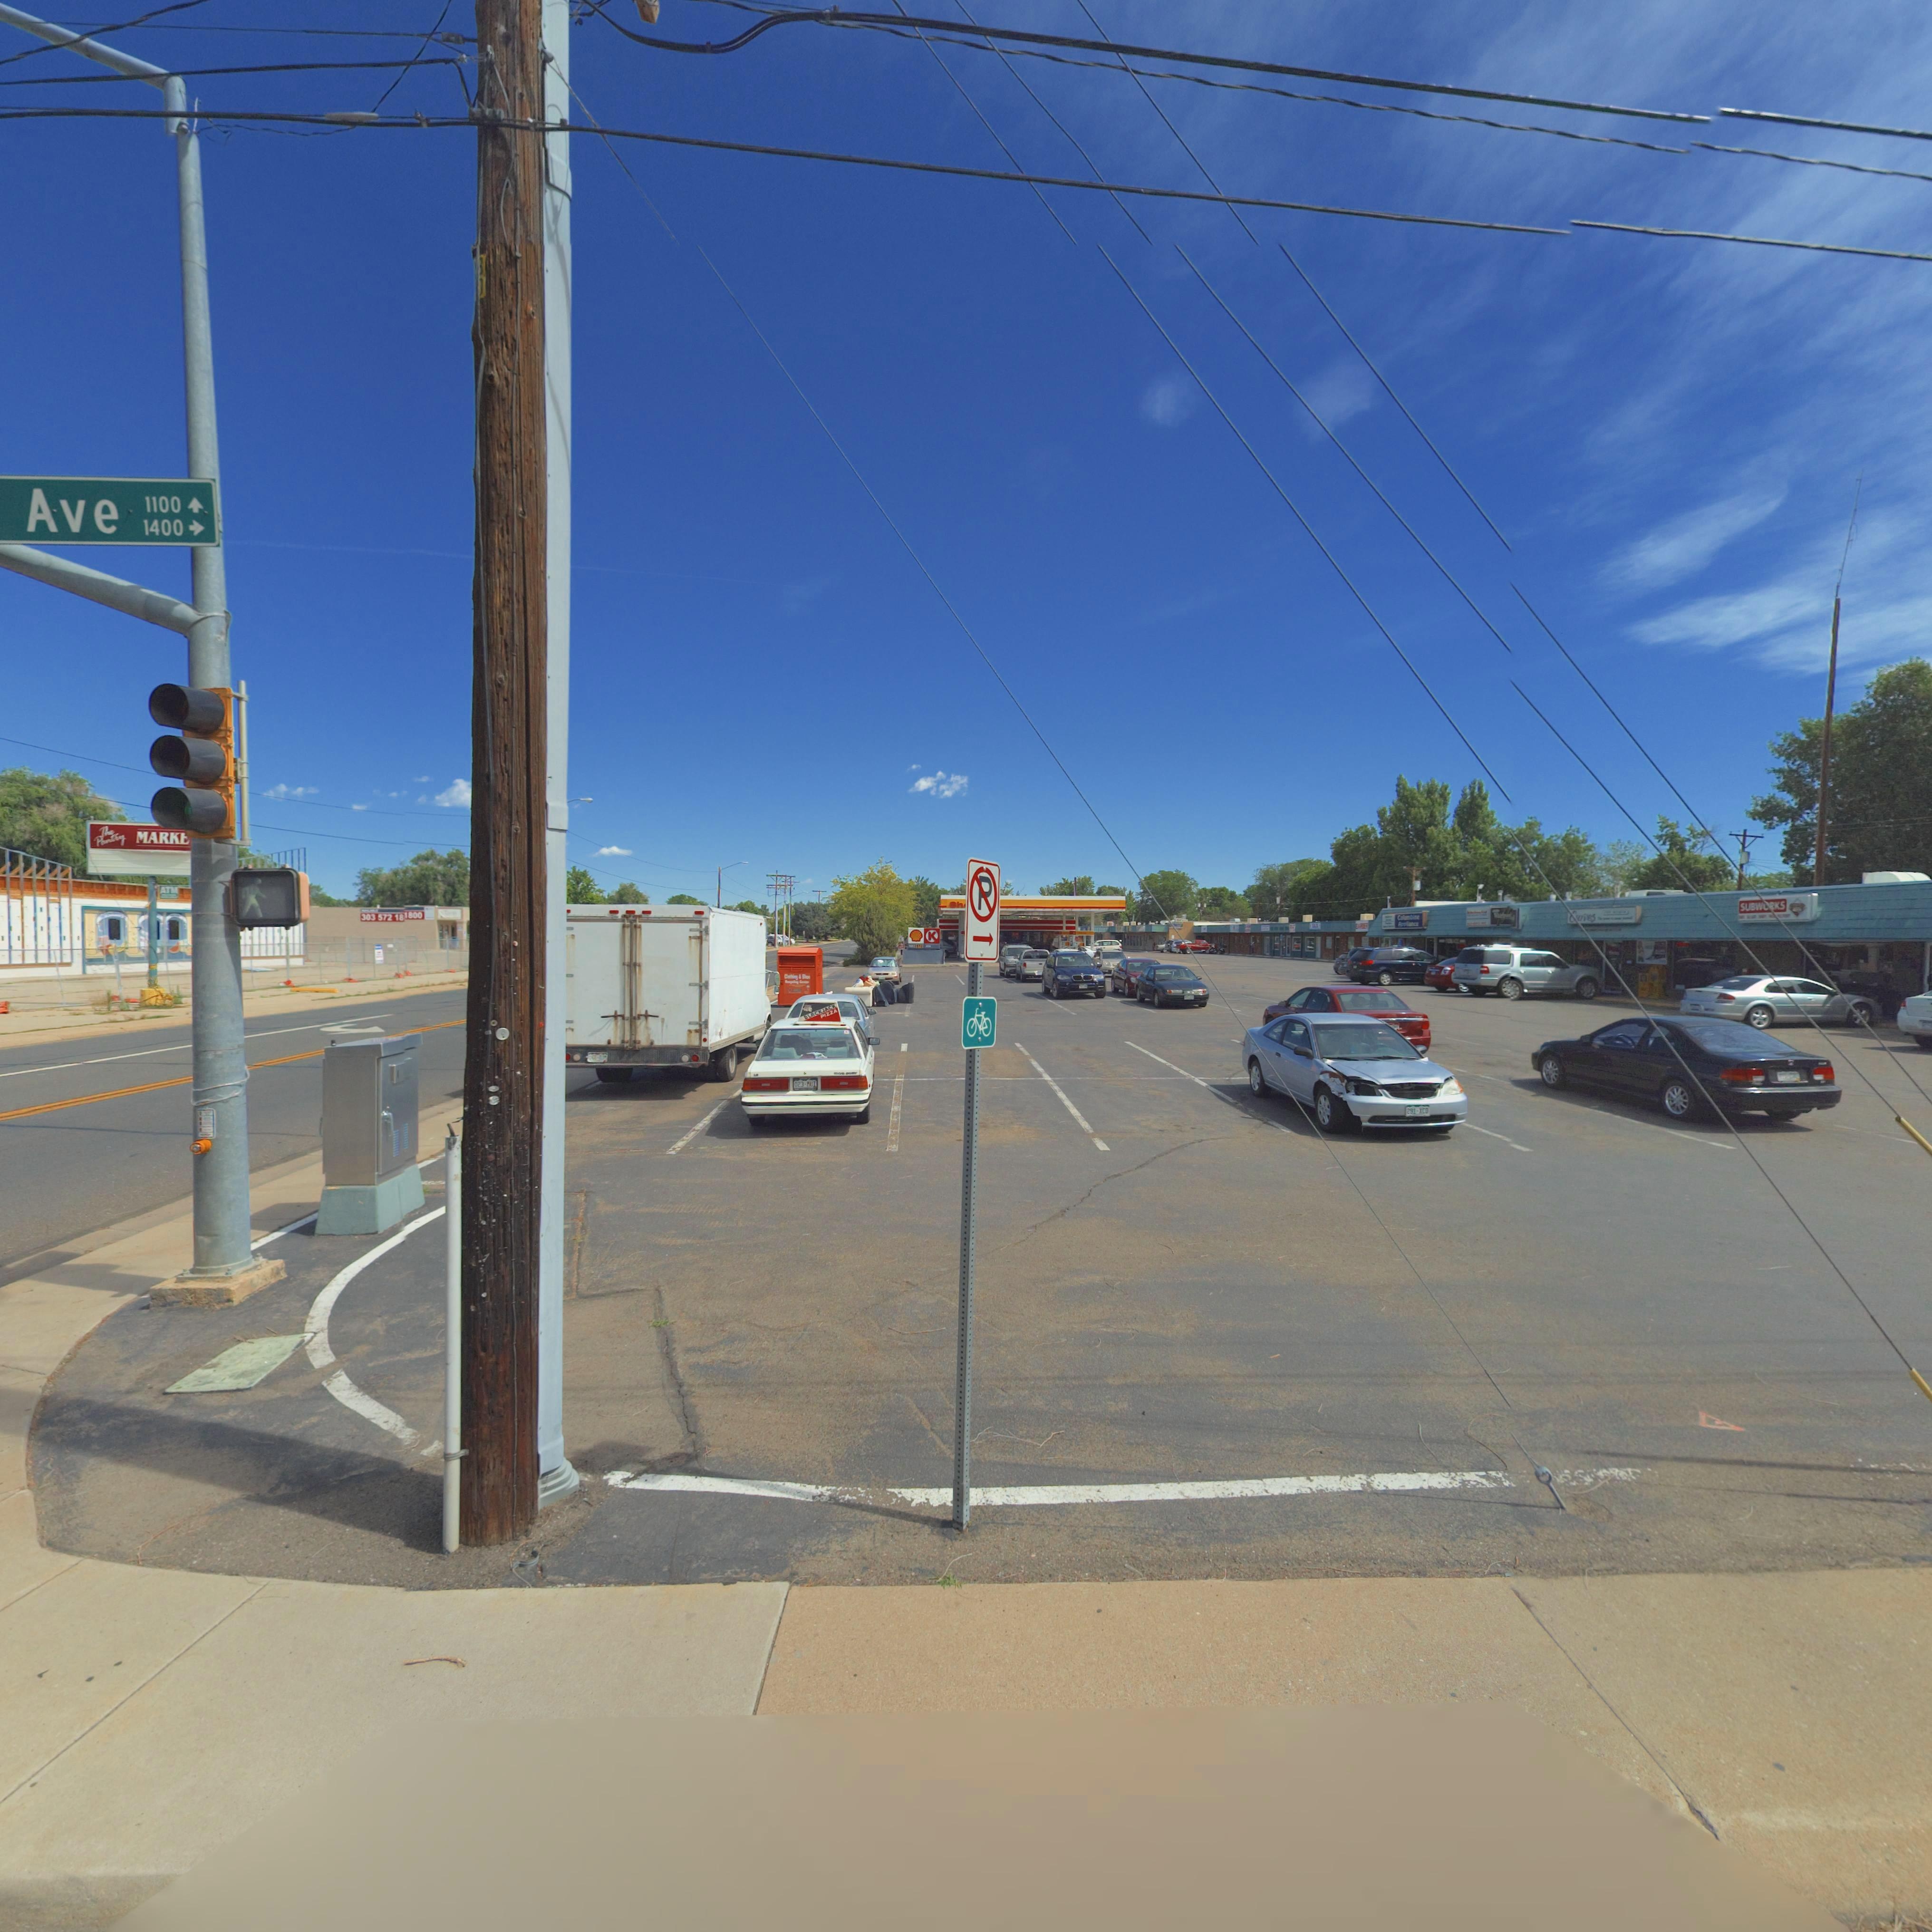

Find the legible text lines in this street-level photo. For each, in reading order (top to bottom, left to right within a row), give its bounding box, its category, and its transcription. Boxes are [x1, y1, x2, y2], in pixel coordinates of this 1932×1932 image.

[144, 495, 182, 514] StreetNumberRange: 1100
[25, 486, 121, 536] StreetName: Ave
[141, 518, 206, 537] StreetNumberRange: 1400 ->
[97, 825, 115, 837] BusinessName: The
[93, 833, 126, 847] BusinessName: Pantry
[135, 830, 192, 845] BusinessName: MARK*
[949, 901, 964, 908] BusinessName: Sh
[1739, 900, 1786, 912] BusinessName: SUBWORKS
[1397, 914, 1420, 920] BusinessName: Columbine
[1568, 910, 1596, 923] BusinessName: Curves
[1397, 921, 1419, 927] BusinessName: Appliance